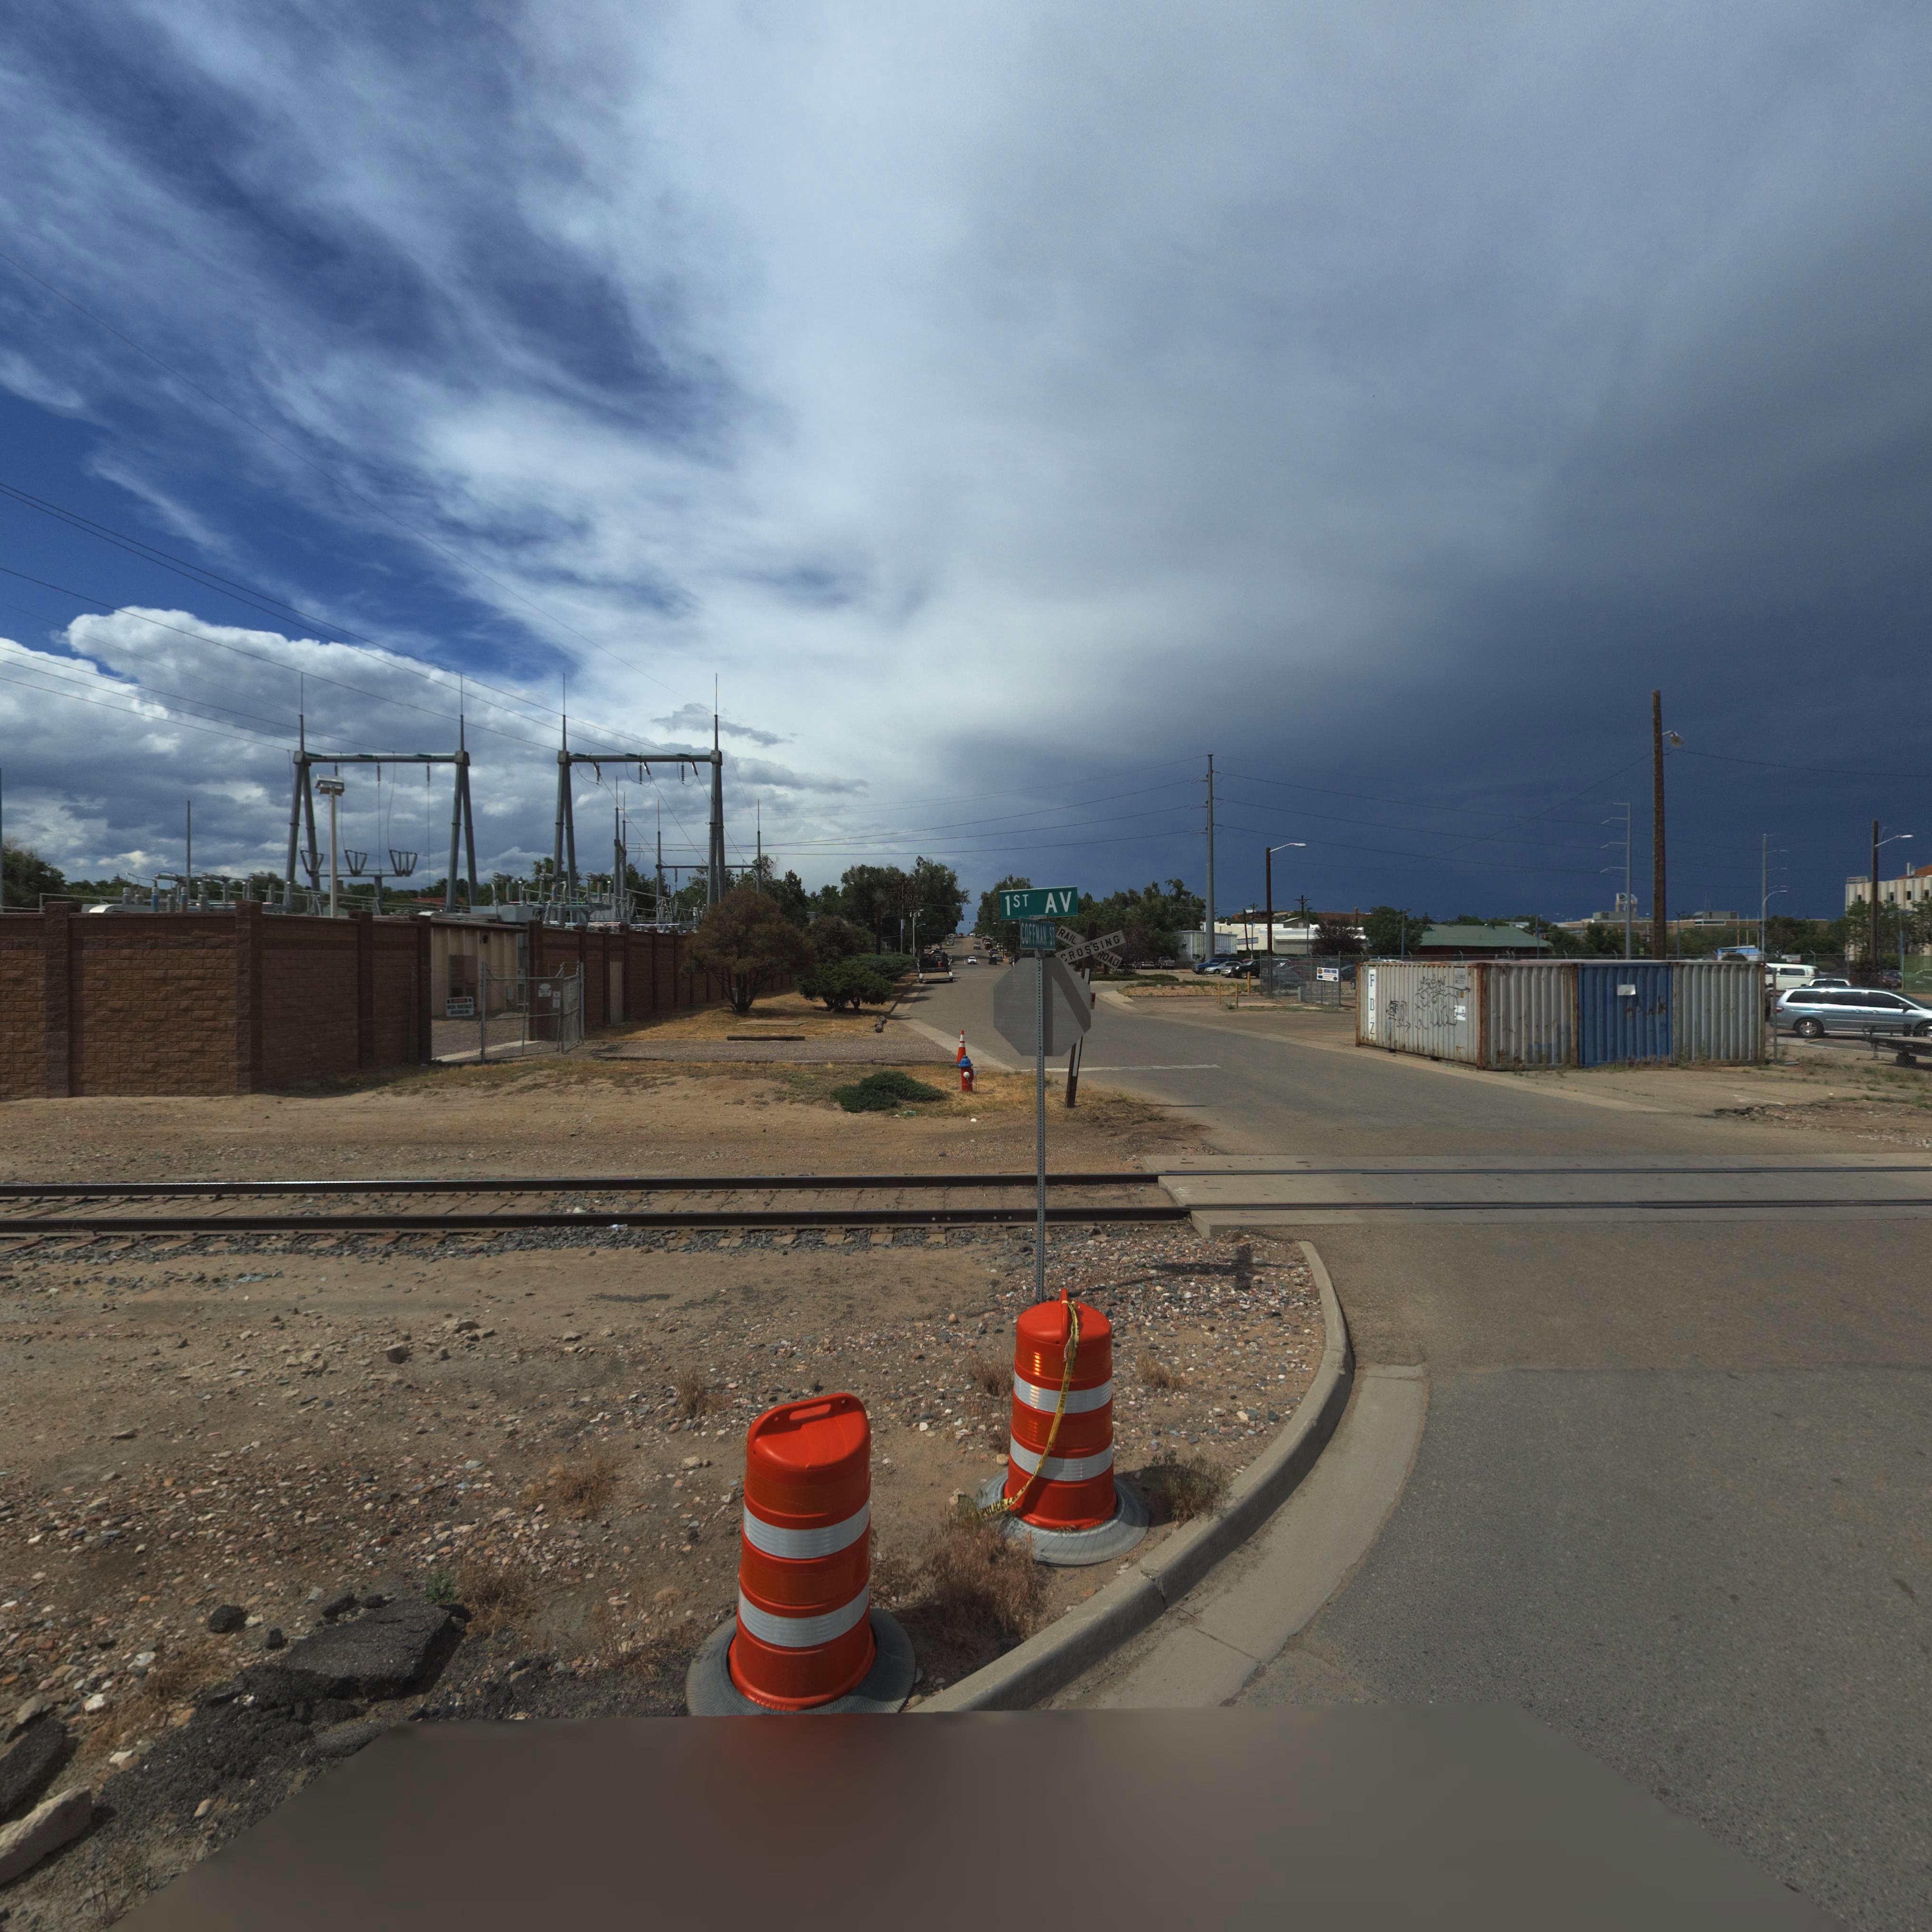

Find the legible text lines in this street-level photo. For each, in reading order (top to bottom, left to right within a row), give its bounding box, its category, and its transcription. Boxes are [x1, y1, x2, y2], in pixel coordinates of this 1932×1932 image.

[1004, 890, 1072, 916] StreetName: 1ST AV
[1020, 921, 1055, 946] StreetName: COFFMAN ST